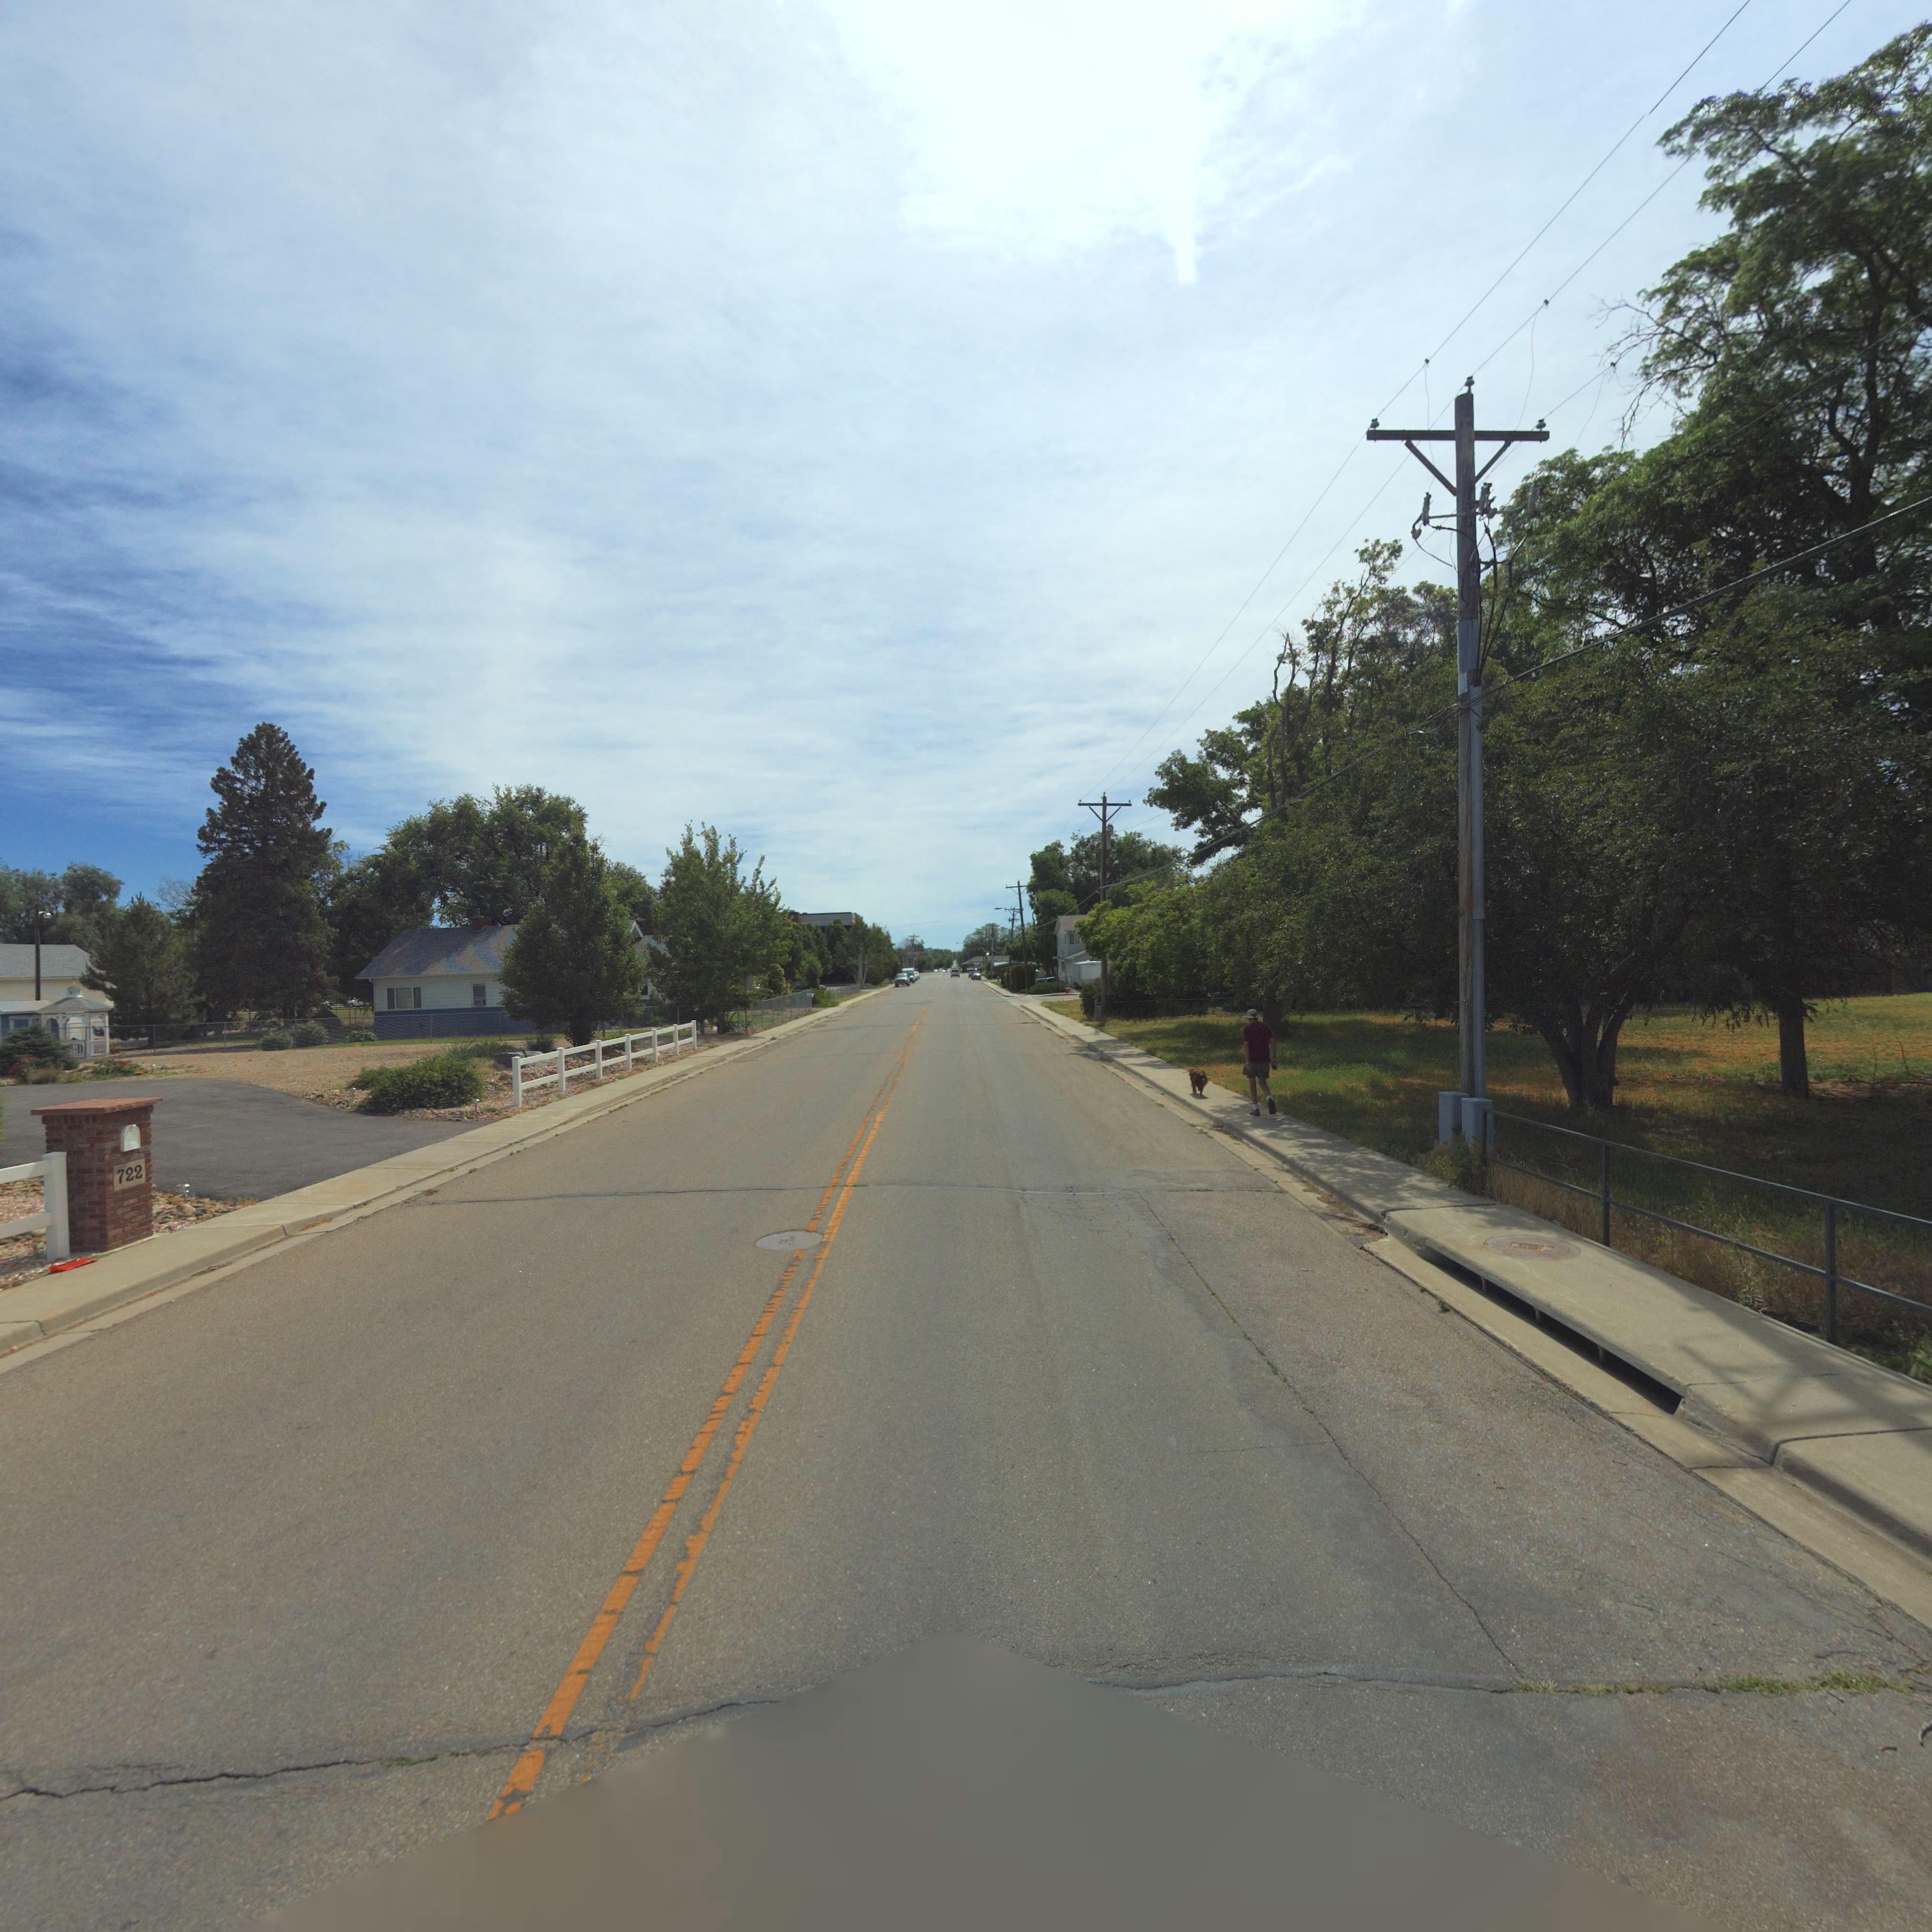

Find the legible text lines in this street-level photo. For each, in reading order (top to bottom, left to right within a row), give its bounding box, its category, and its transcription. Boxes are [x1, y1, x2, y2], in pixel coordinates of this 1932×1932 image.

[115, 1163, 143, 1185] StreetNumber: 722